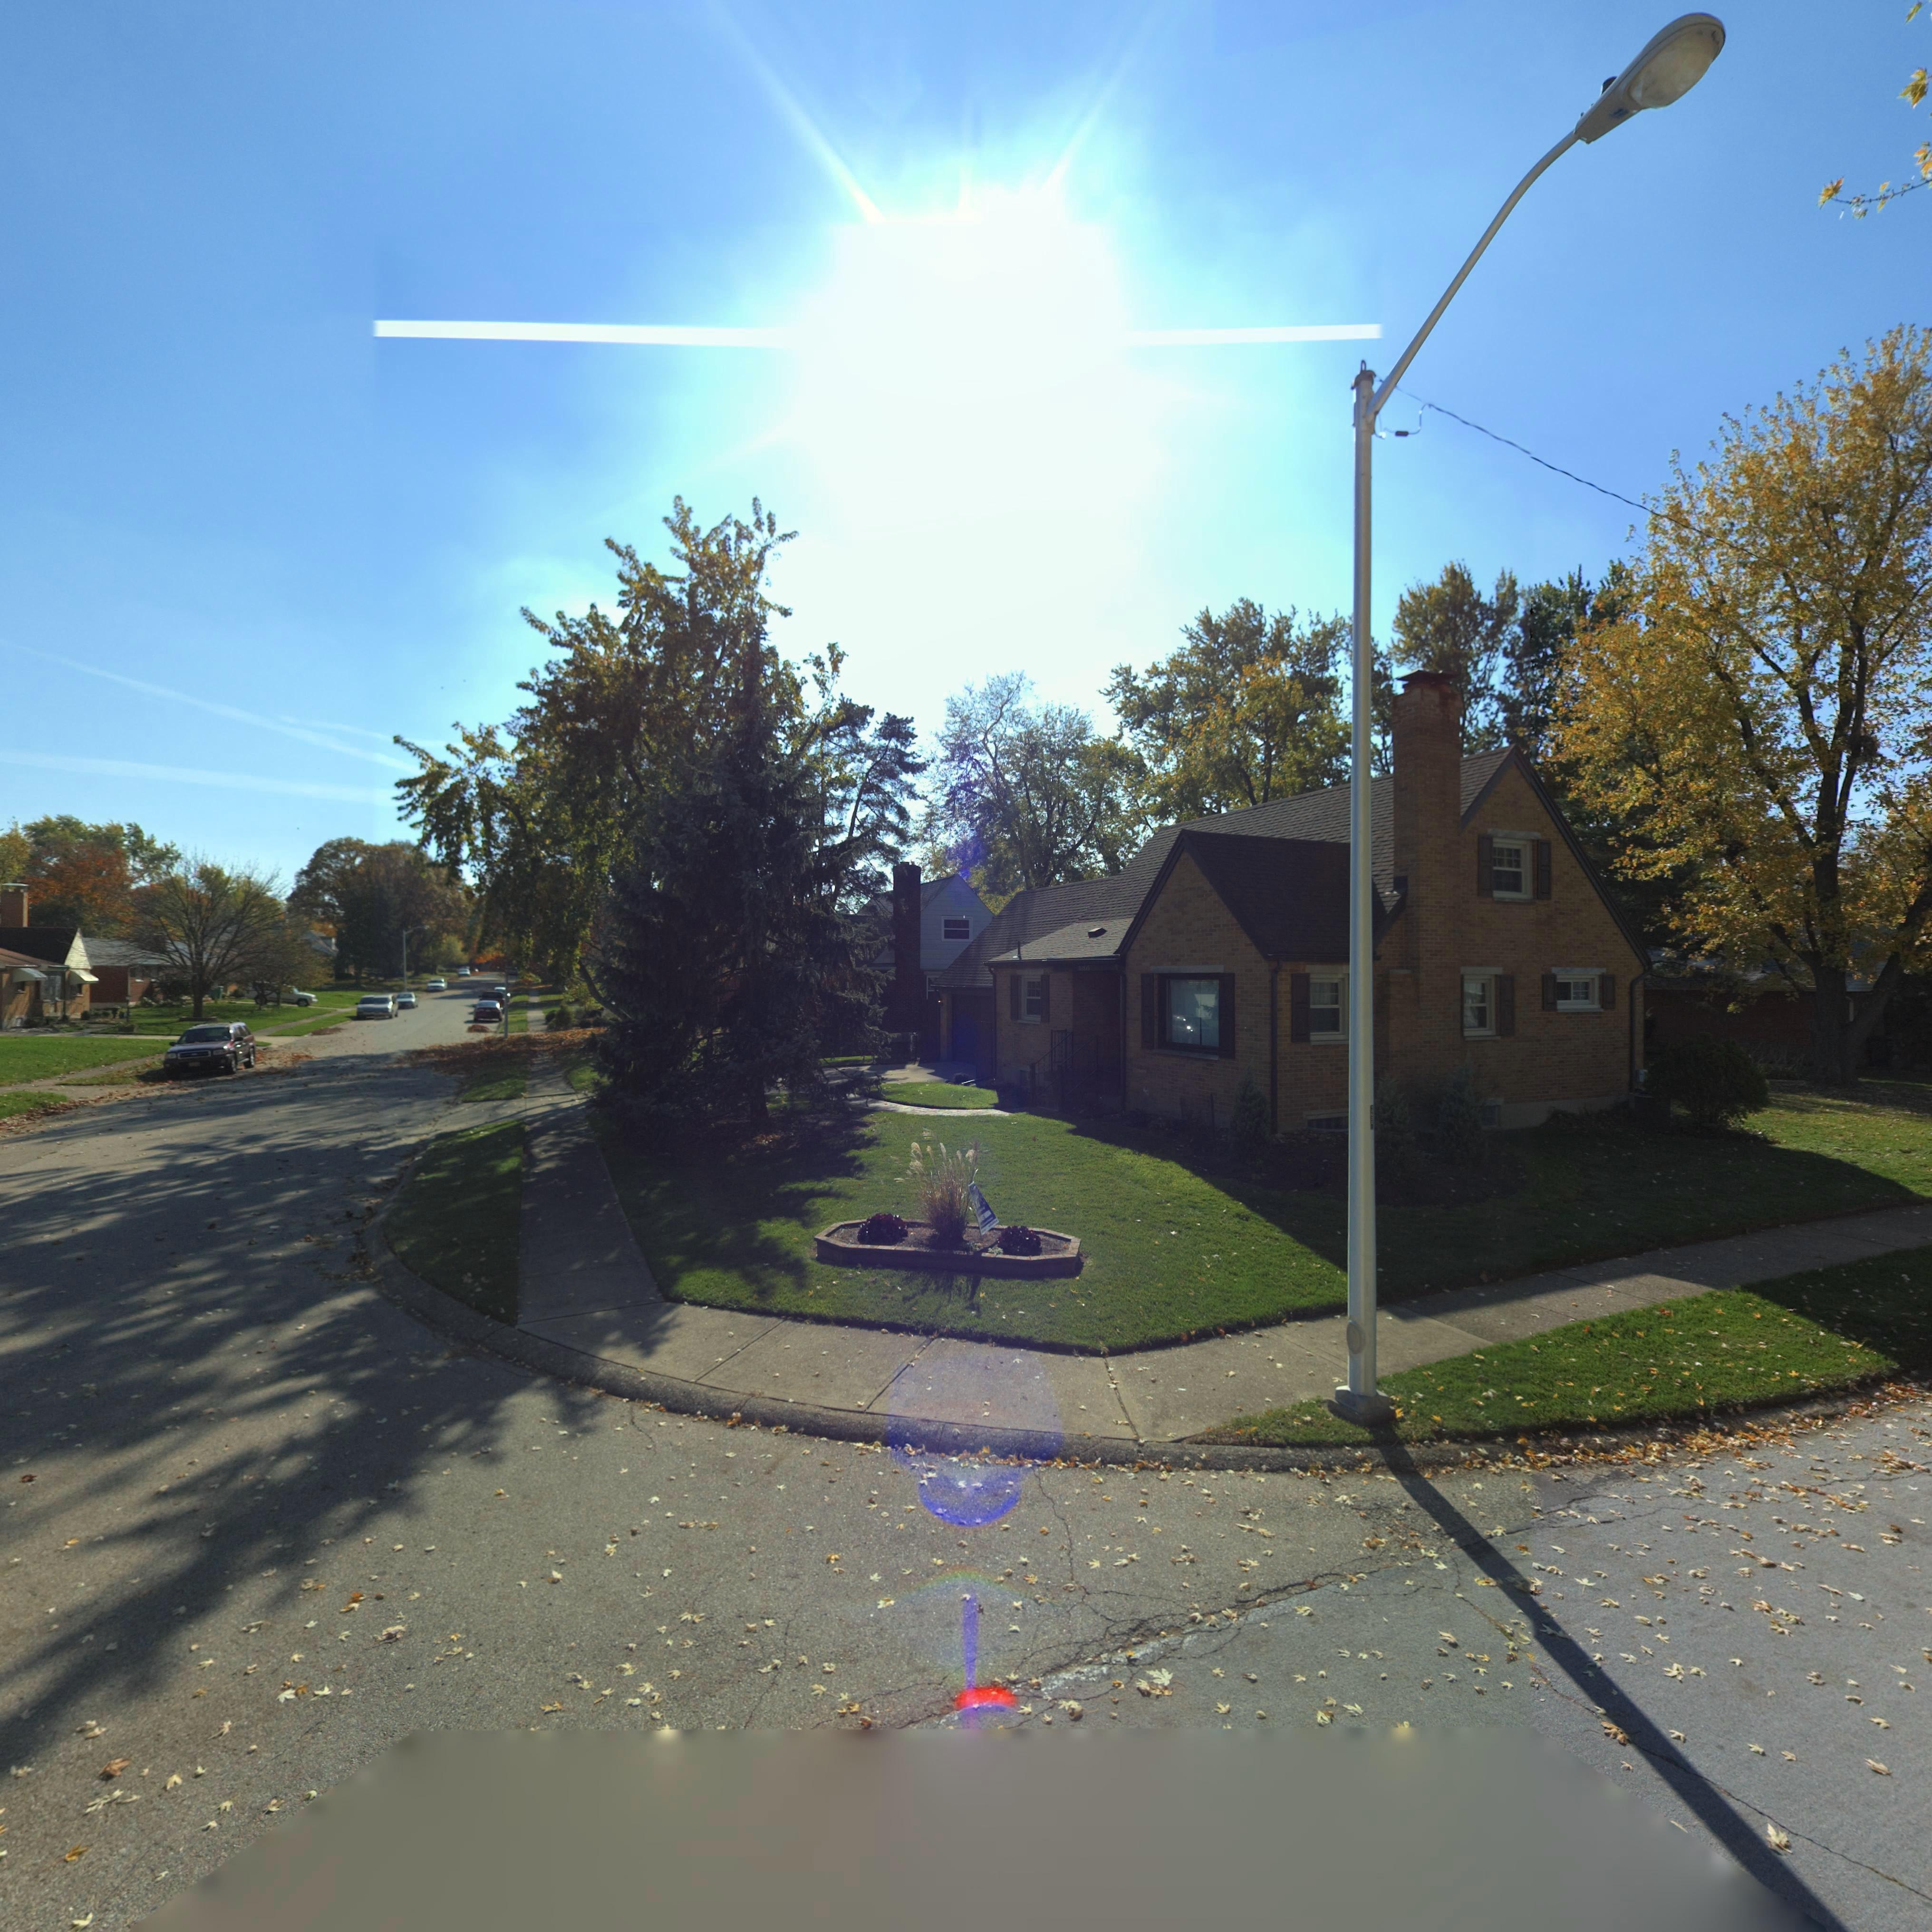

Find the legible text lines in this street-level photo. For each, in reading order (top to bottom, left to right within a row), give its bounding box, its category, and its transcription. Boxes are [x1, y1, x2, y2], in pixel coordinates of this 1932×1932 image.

[1078, 965, 1090, 971] StreetNumber: 3*05